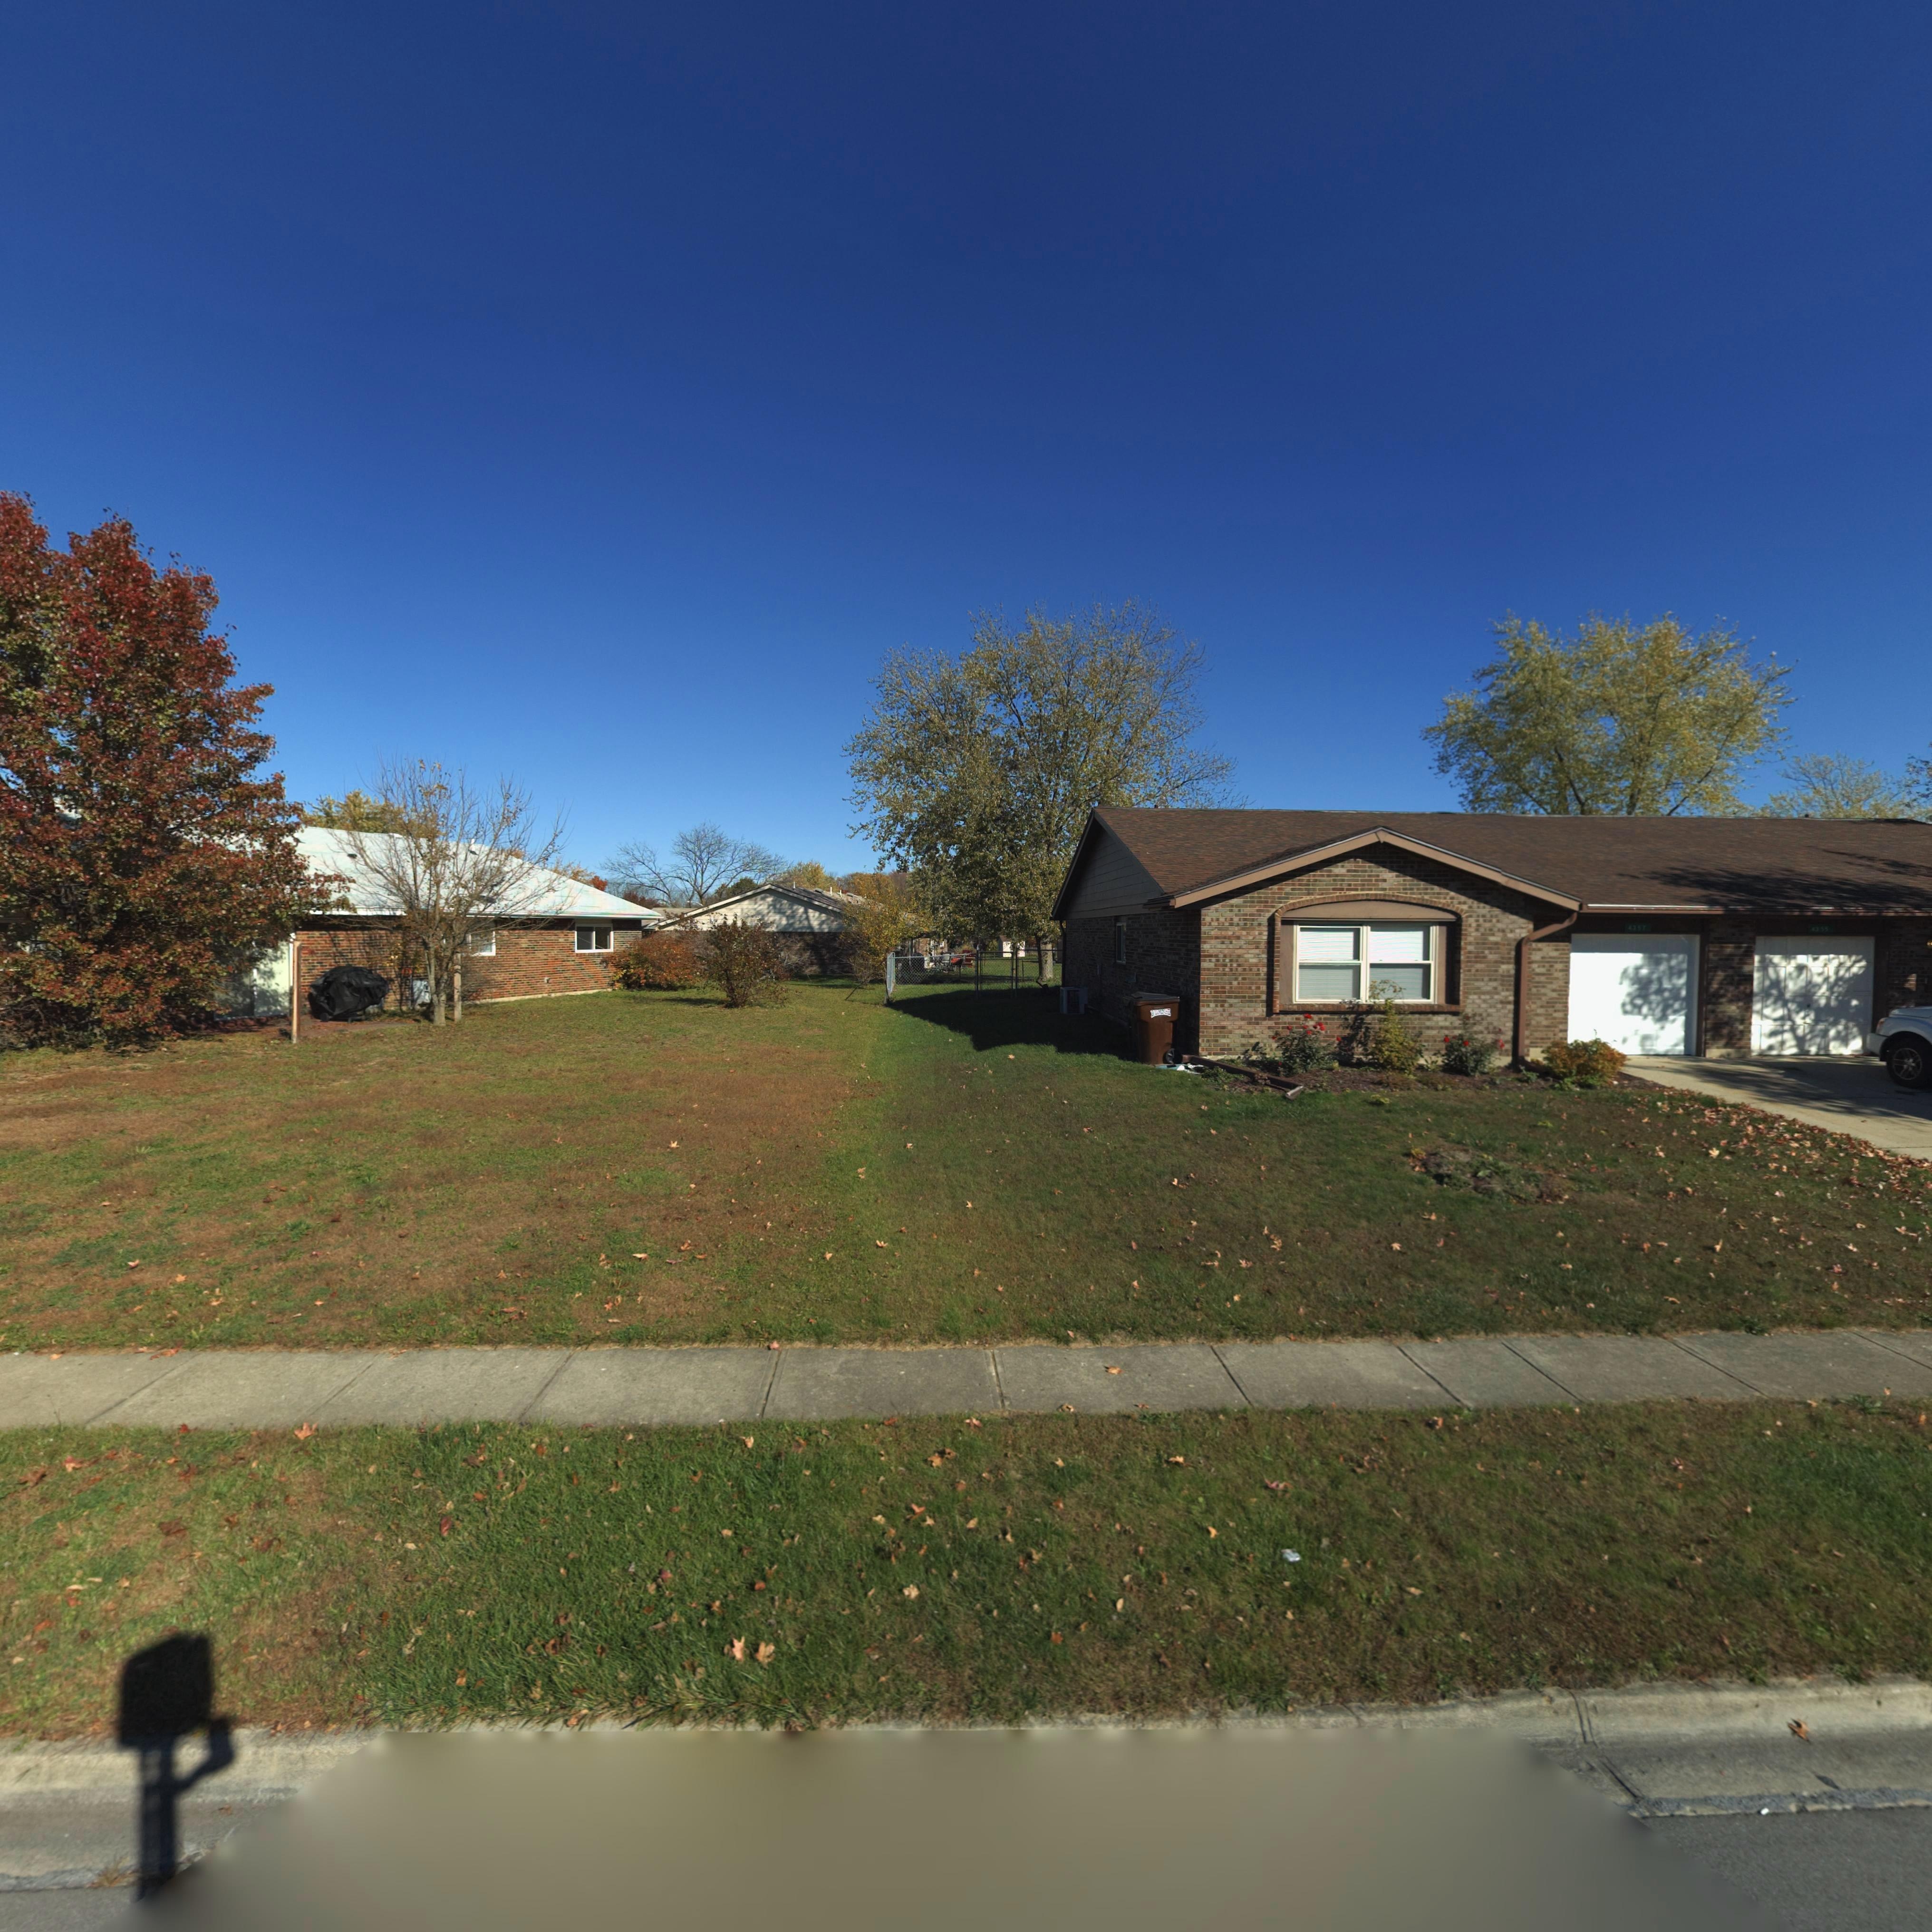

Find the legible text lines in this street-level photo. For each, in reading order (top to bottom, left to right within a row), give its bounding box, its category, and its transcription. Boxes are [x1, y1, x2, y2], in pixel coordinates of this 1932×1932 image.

[1627, 924, 1647, 931] StreetNumber: 4357
[1811, 926, 1829, 932] StreetNumber: 4355